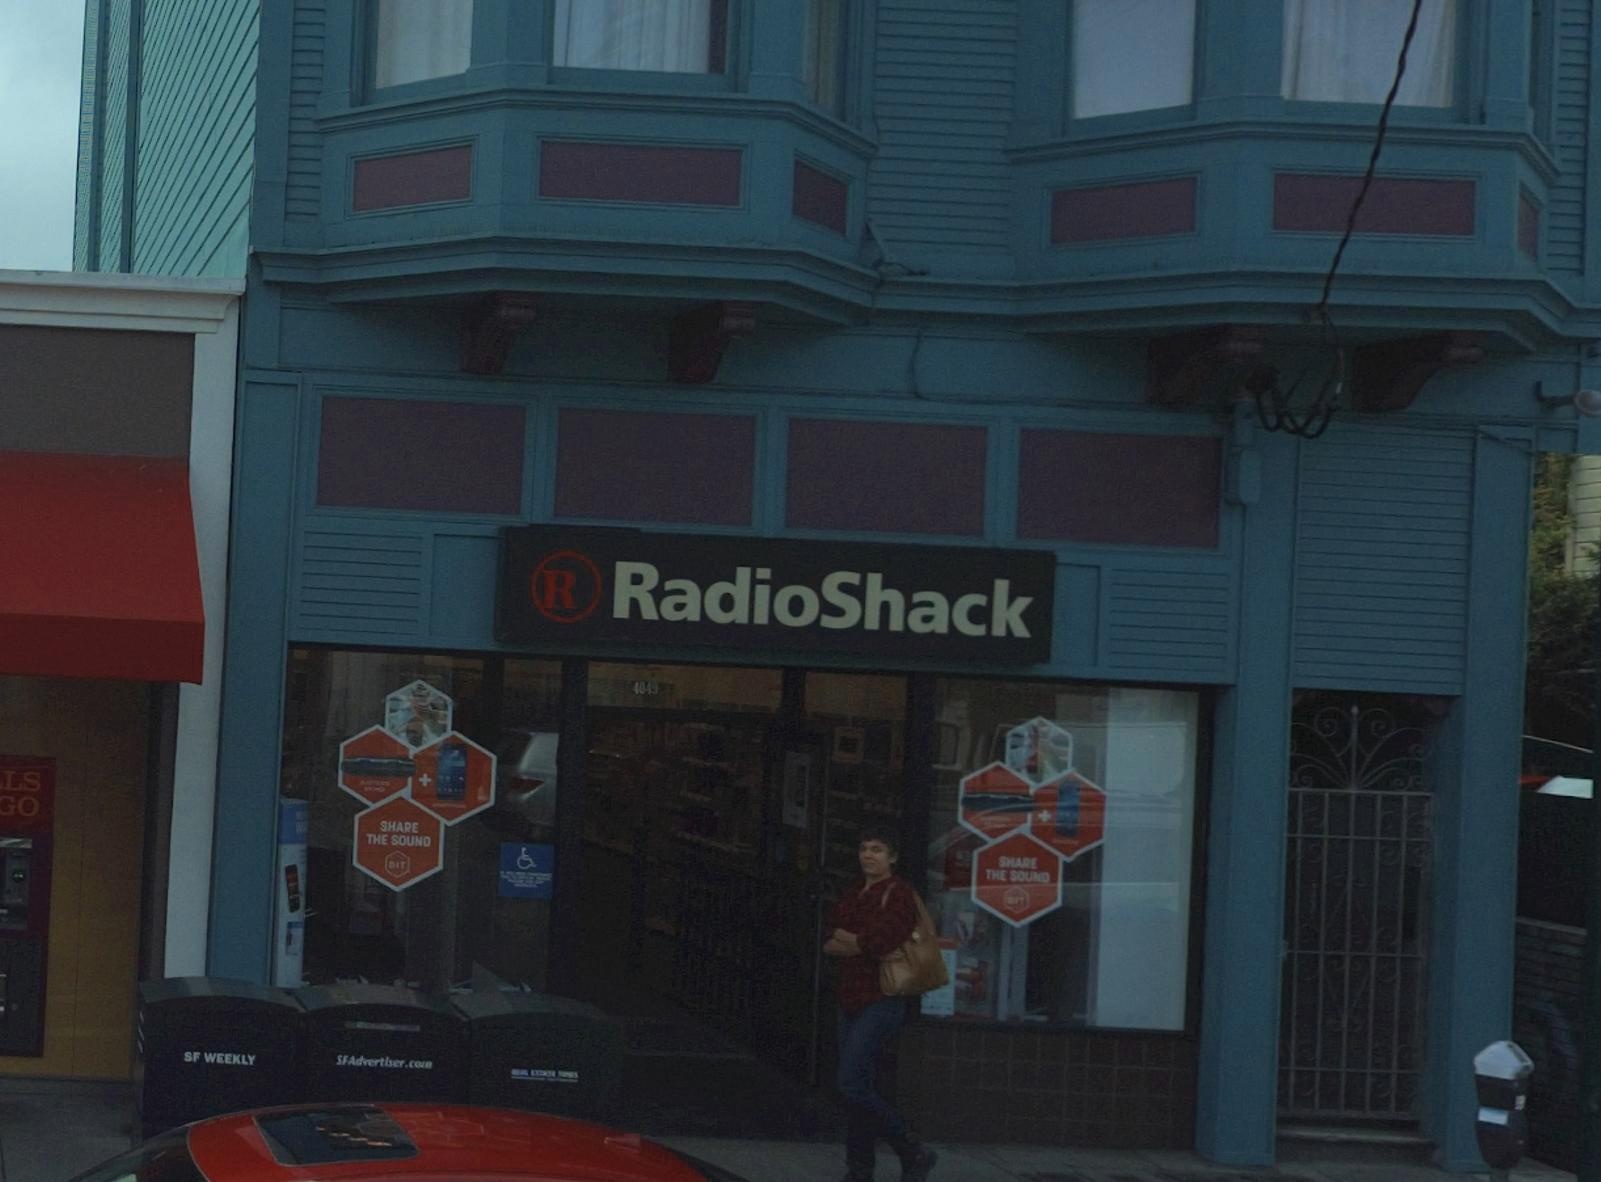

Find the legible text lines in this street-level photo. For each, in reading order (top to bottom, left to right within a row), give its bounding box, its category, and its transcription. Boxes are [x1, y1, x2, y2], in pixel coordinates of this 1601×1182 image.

[540, 569, 583, 612] None: R
[609, 556, 1038, 645] BusinessName: RadioShack
[631, 680, 660, 696] StreetNumber: 4049
[2, 767, 42, 794] None: LS
[16, 795, 40, 818] None: O
[377, 819, 421, 834] None: SHARE
[364, 832, 433, 849] None: THE SOUND
[998, 854, 1041, 869] None: SHARE
[984, 867, 1051, 885] None: THE SOUND
[182, 1050, 257, 1067] None: SF WEEKLY
[334, 1053, 434, 1071] None: SFAdvertiser.com